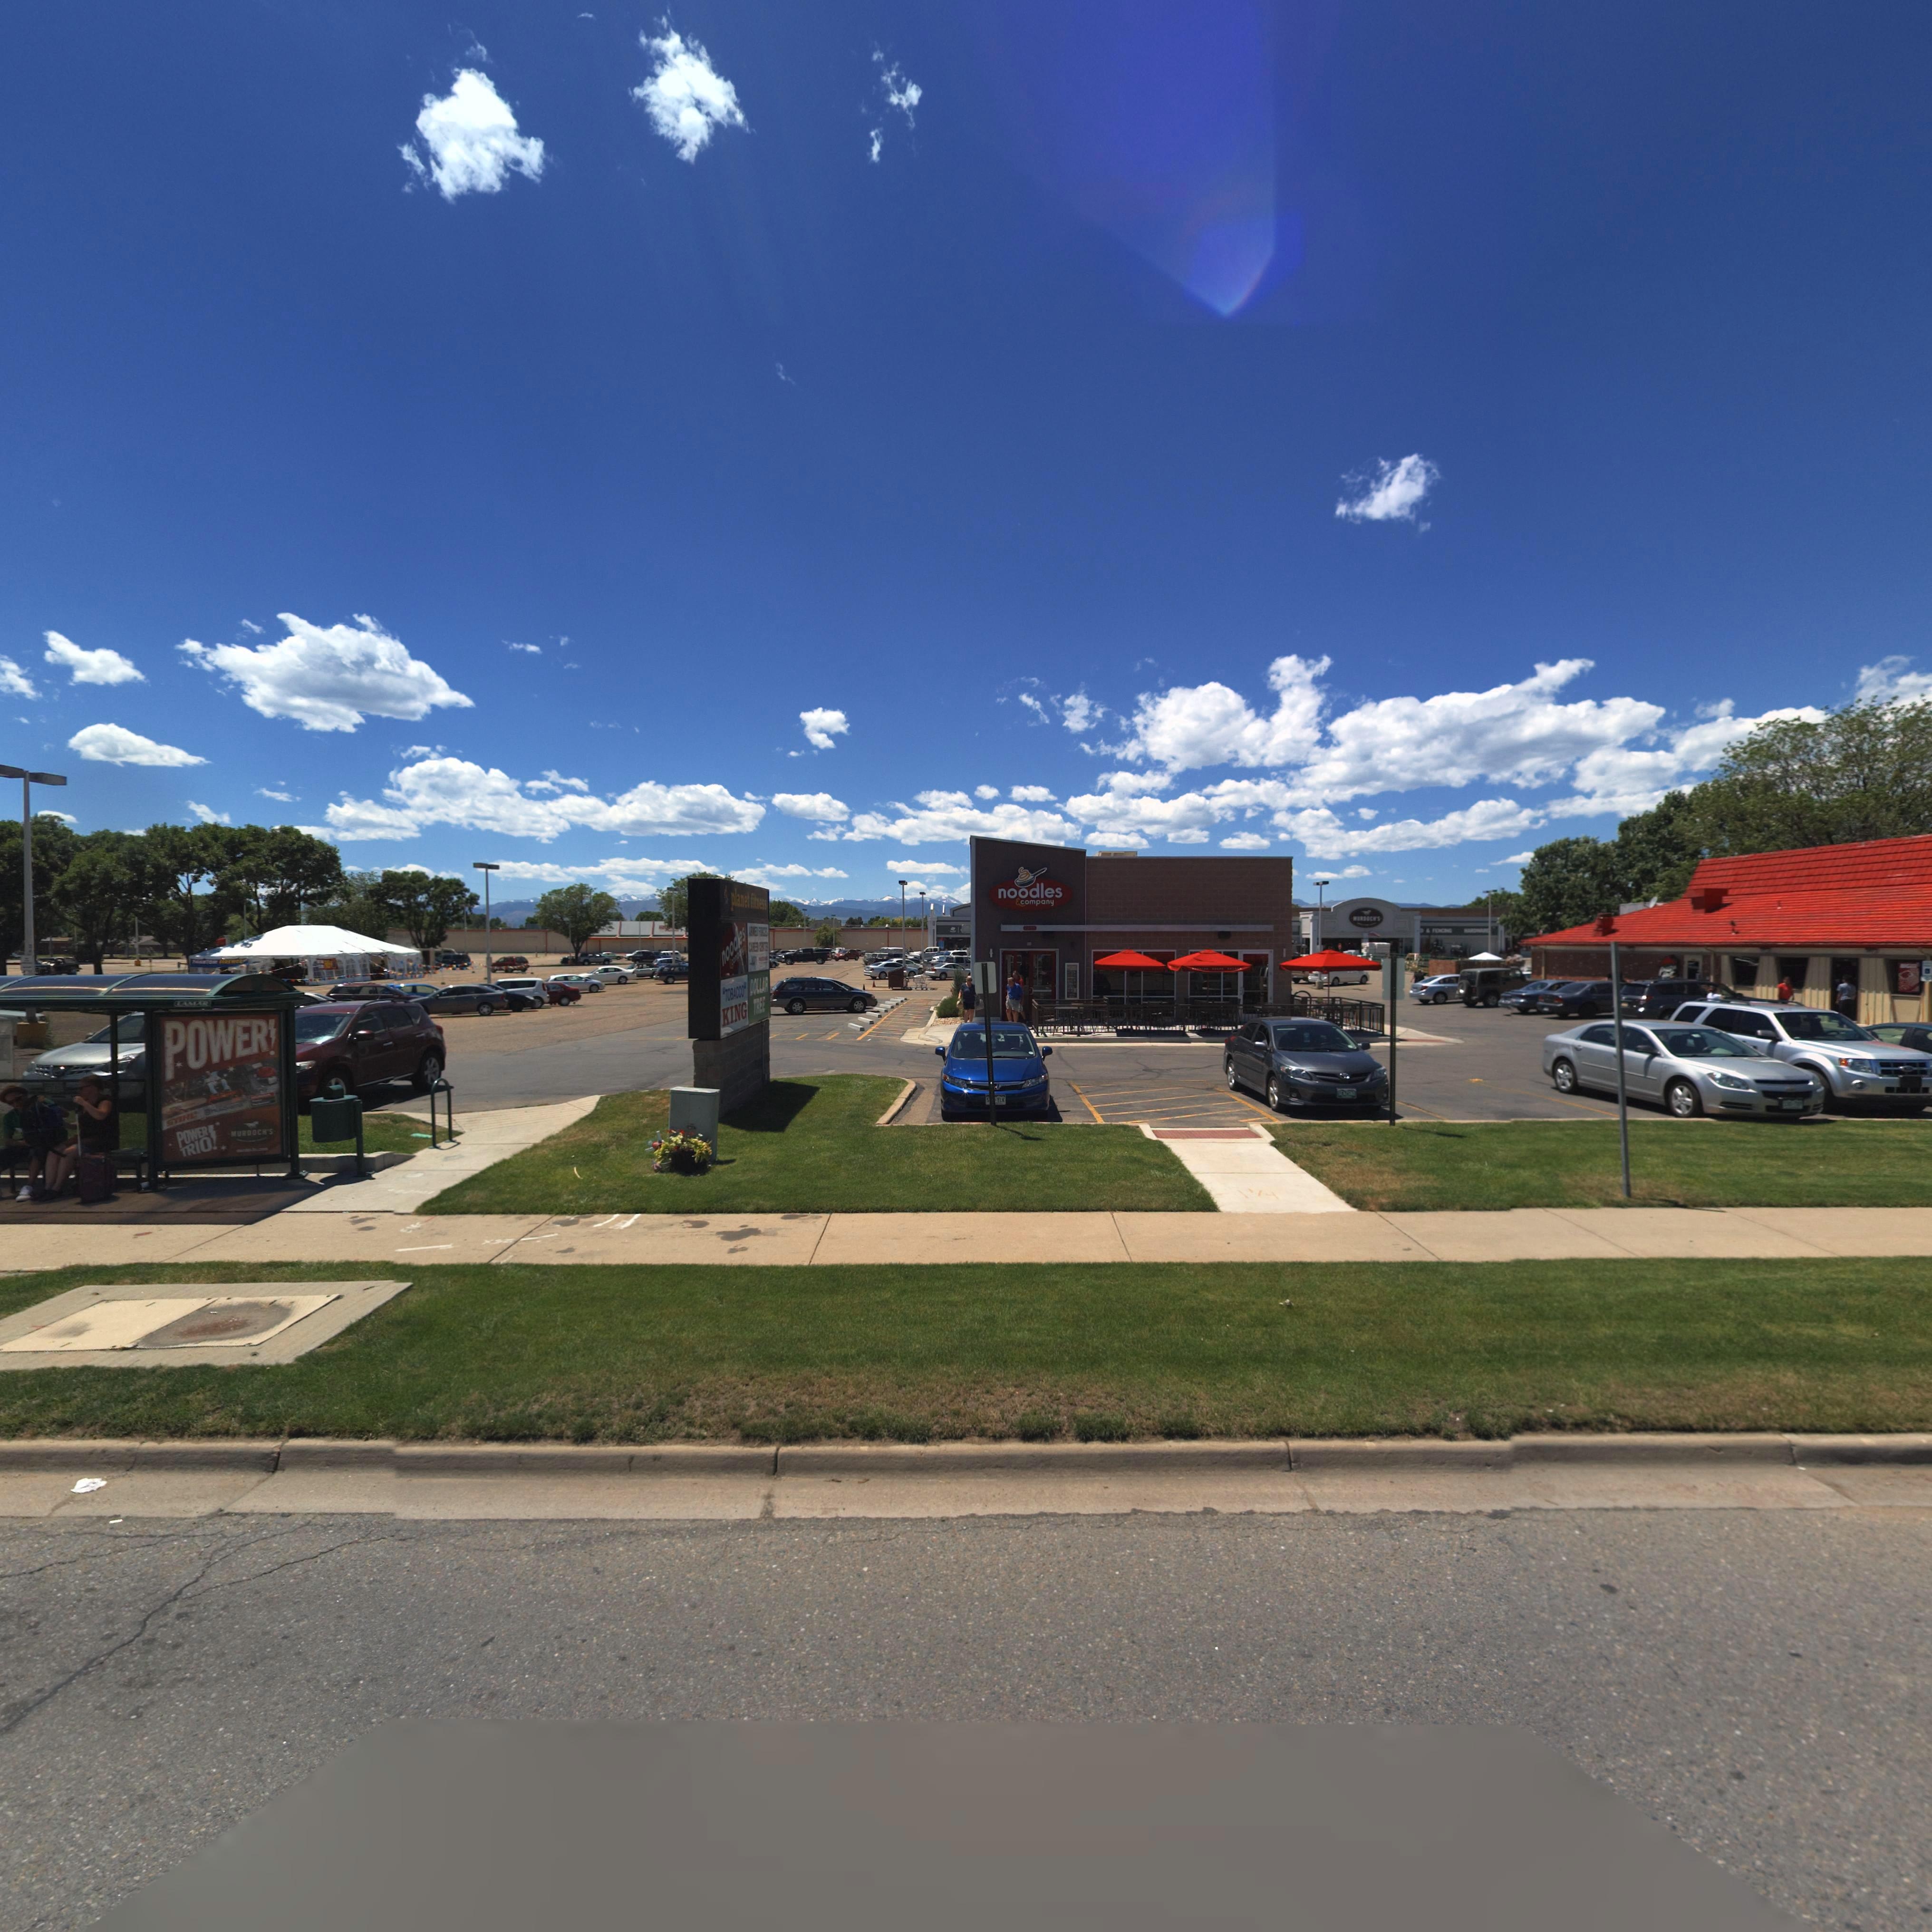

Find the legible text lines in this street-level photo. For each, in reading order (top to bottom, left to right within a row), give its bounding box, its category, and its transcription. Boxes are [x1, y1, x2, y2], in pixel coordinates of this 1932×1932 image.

[731, 888, 766, 911] BusinessName: planet fitness
[998, 882, 1063, 898] BusinessName: noodles
[1353, 916, 1380, 920] BusinessName: ****OC**S
[721, 927, 745, 967] BusinessName: nood*es
[724, 985, 744, 1002] BusinessName: TOBACCO
[750, 976, 768, 996] BusinessName: DOLLAR
[722, 1001, 747, 1027] BusinessName: KING
[753, 996, 765, 1015] BusinessName: TREE